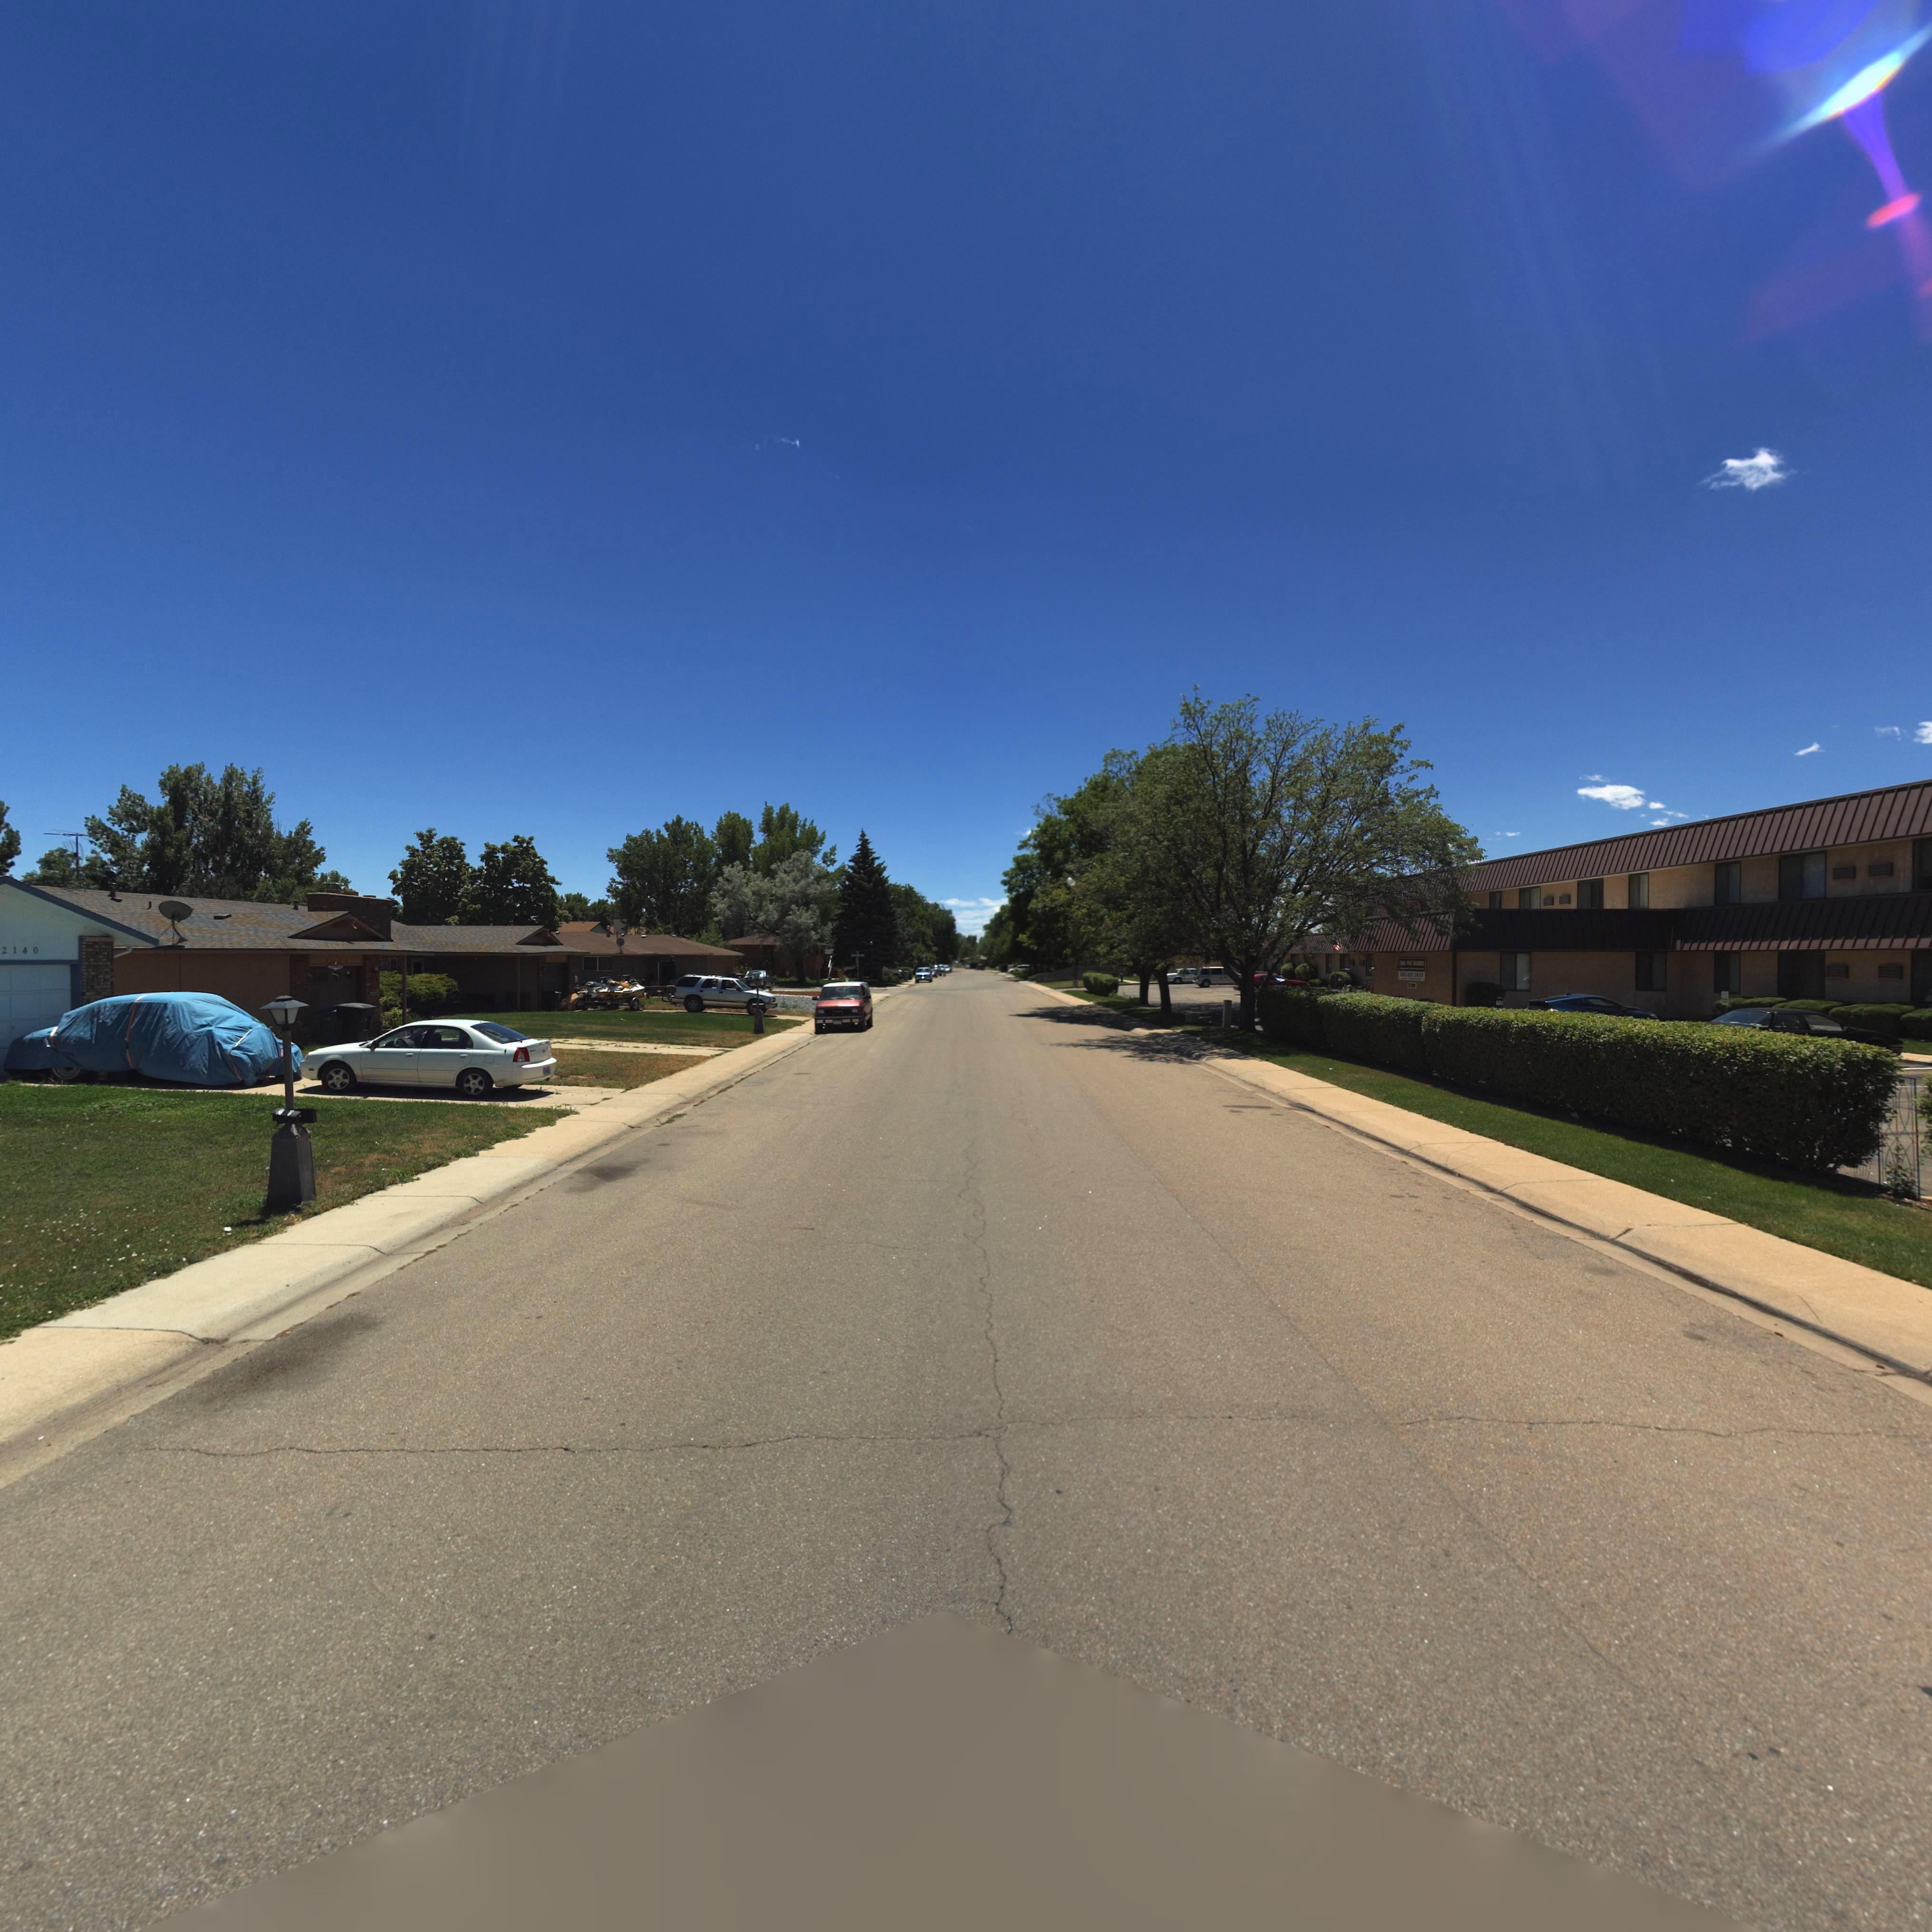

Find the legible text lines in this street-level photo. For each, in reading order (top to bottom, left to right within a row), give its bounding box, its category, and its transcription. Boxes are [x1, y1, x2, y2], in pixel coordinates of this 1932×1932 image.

[1, 946, 38, 954] StreetNumber: 2140